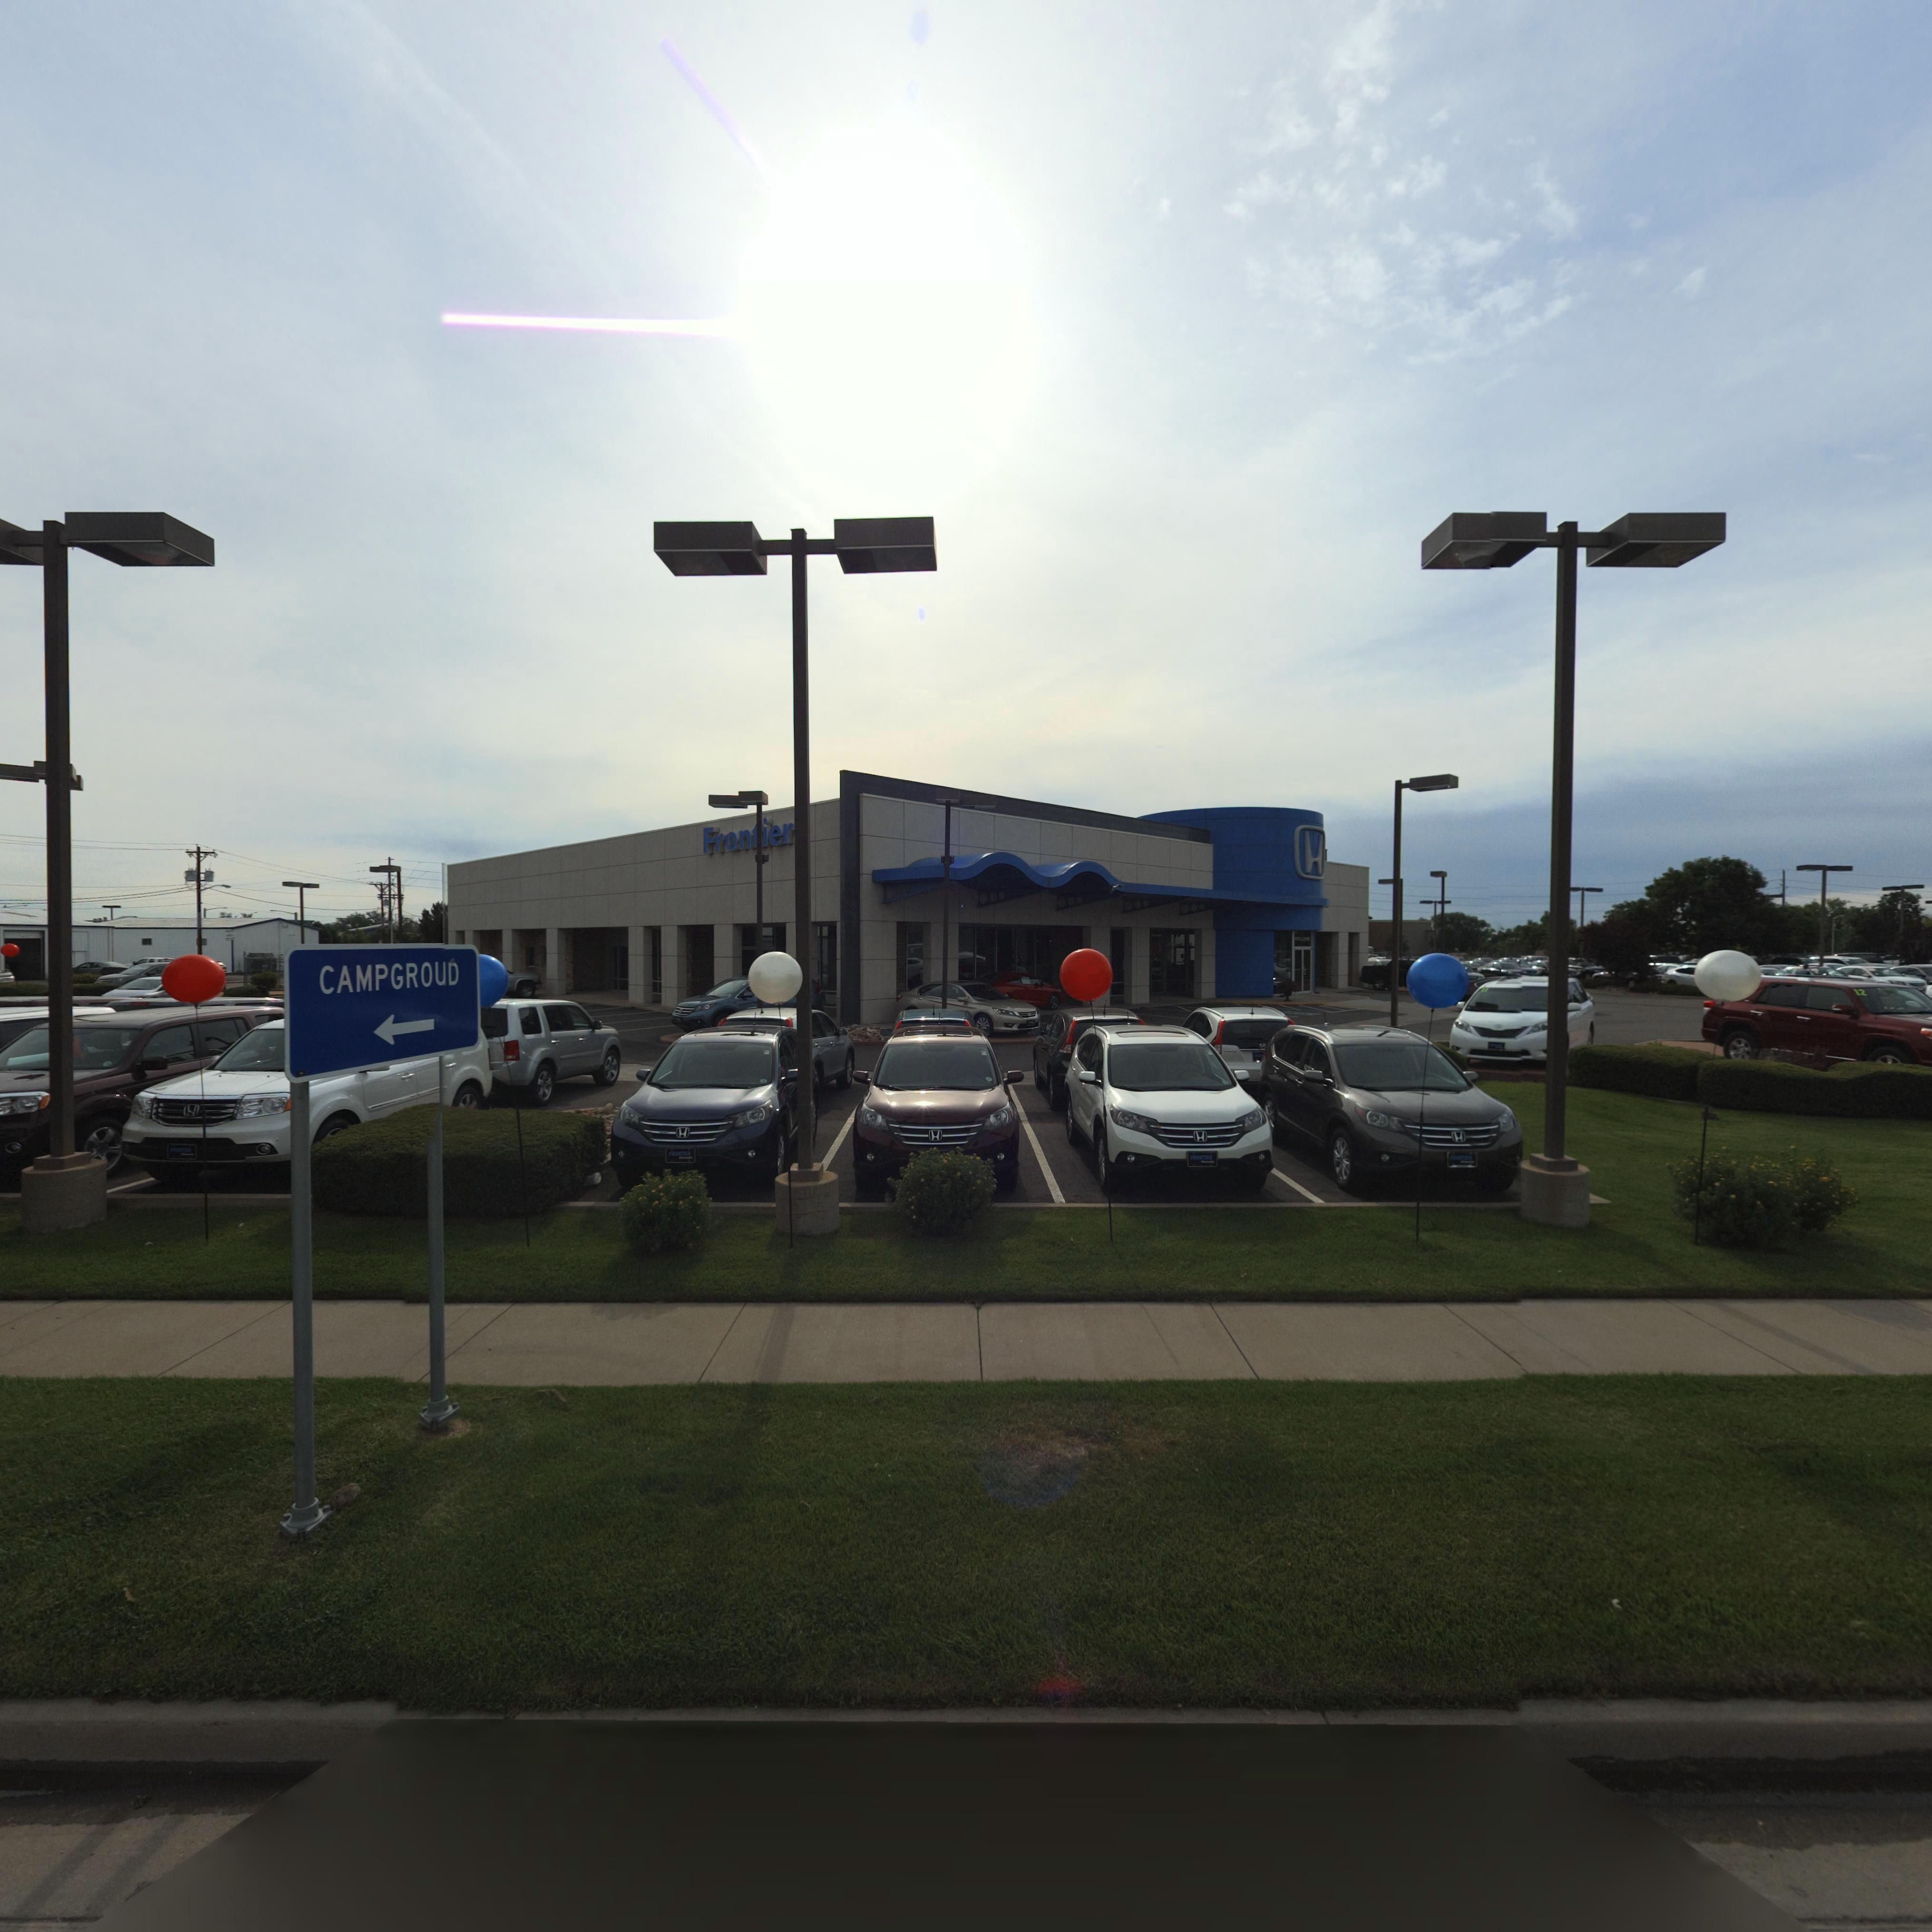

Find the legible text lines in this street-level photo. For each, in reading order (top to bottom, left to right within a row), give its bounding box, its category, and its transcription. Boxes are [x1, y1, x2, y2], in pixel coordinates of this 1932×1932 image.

[702, 816, 794, 855] BusinessName: Frontier